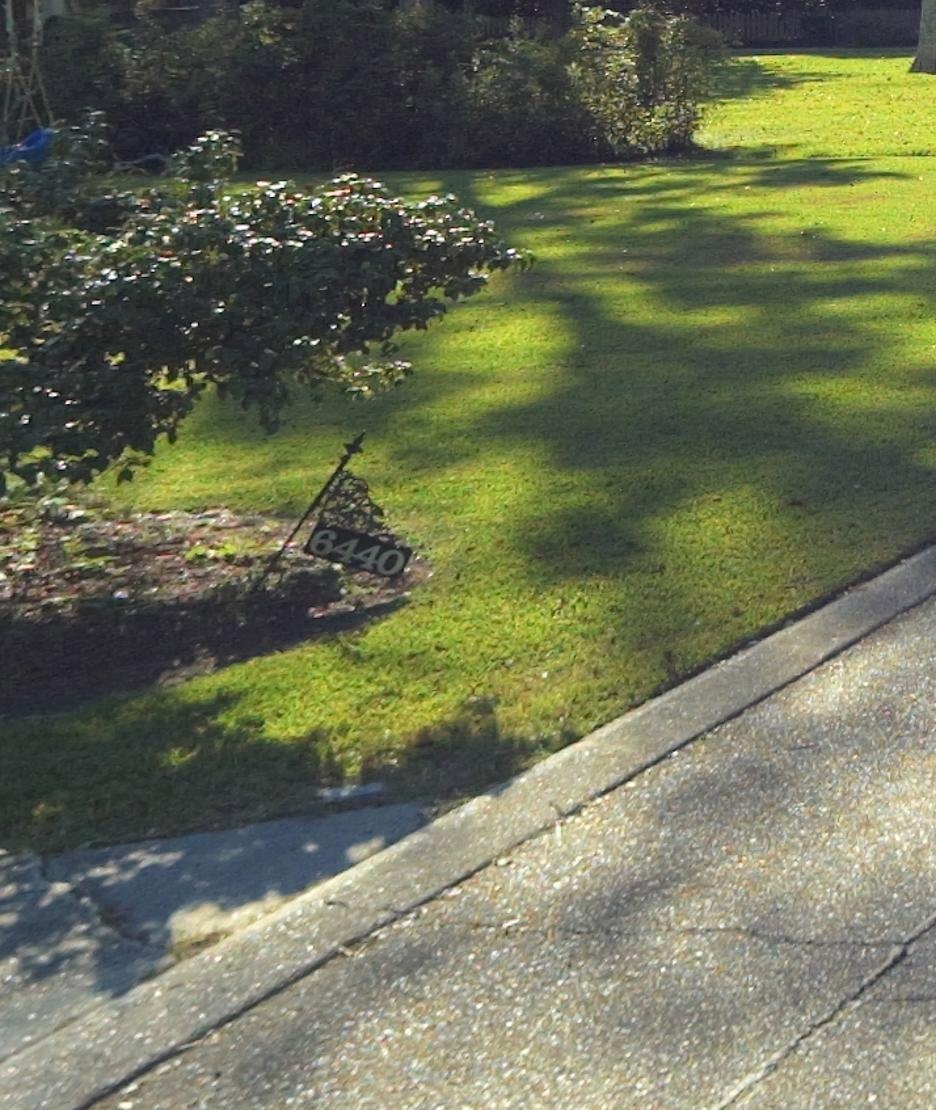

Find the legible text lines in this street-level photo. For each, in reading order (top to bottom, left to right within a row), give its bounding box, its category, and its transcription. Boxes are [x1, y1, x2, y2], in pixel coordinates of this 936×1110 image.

[303, 524, 409, 581] StreetNumber: 6440